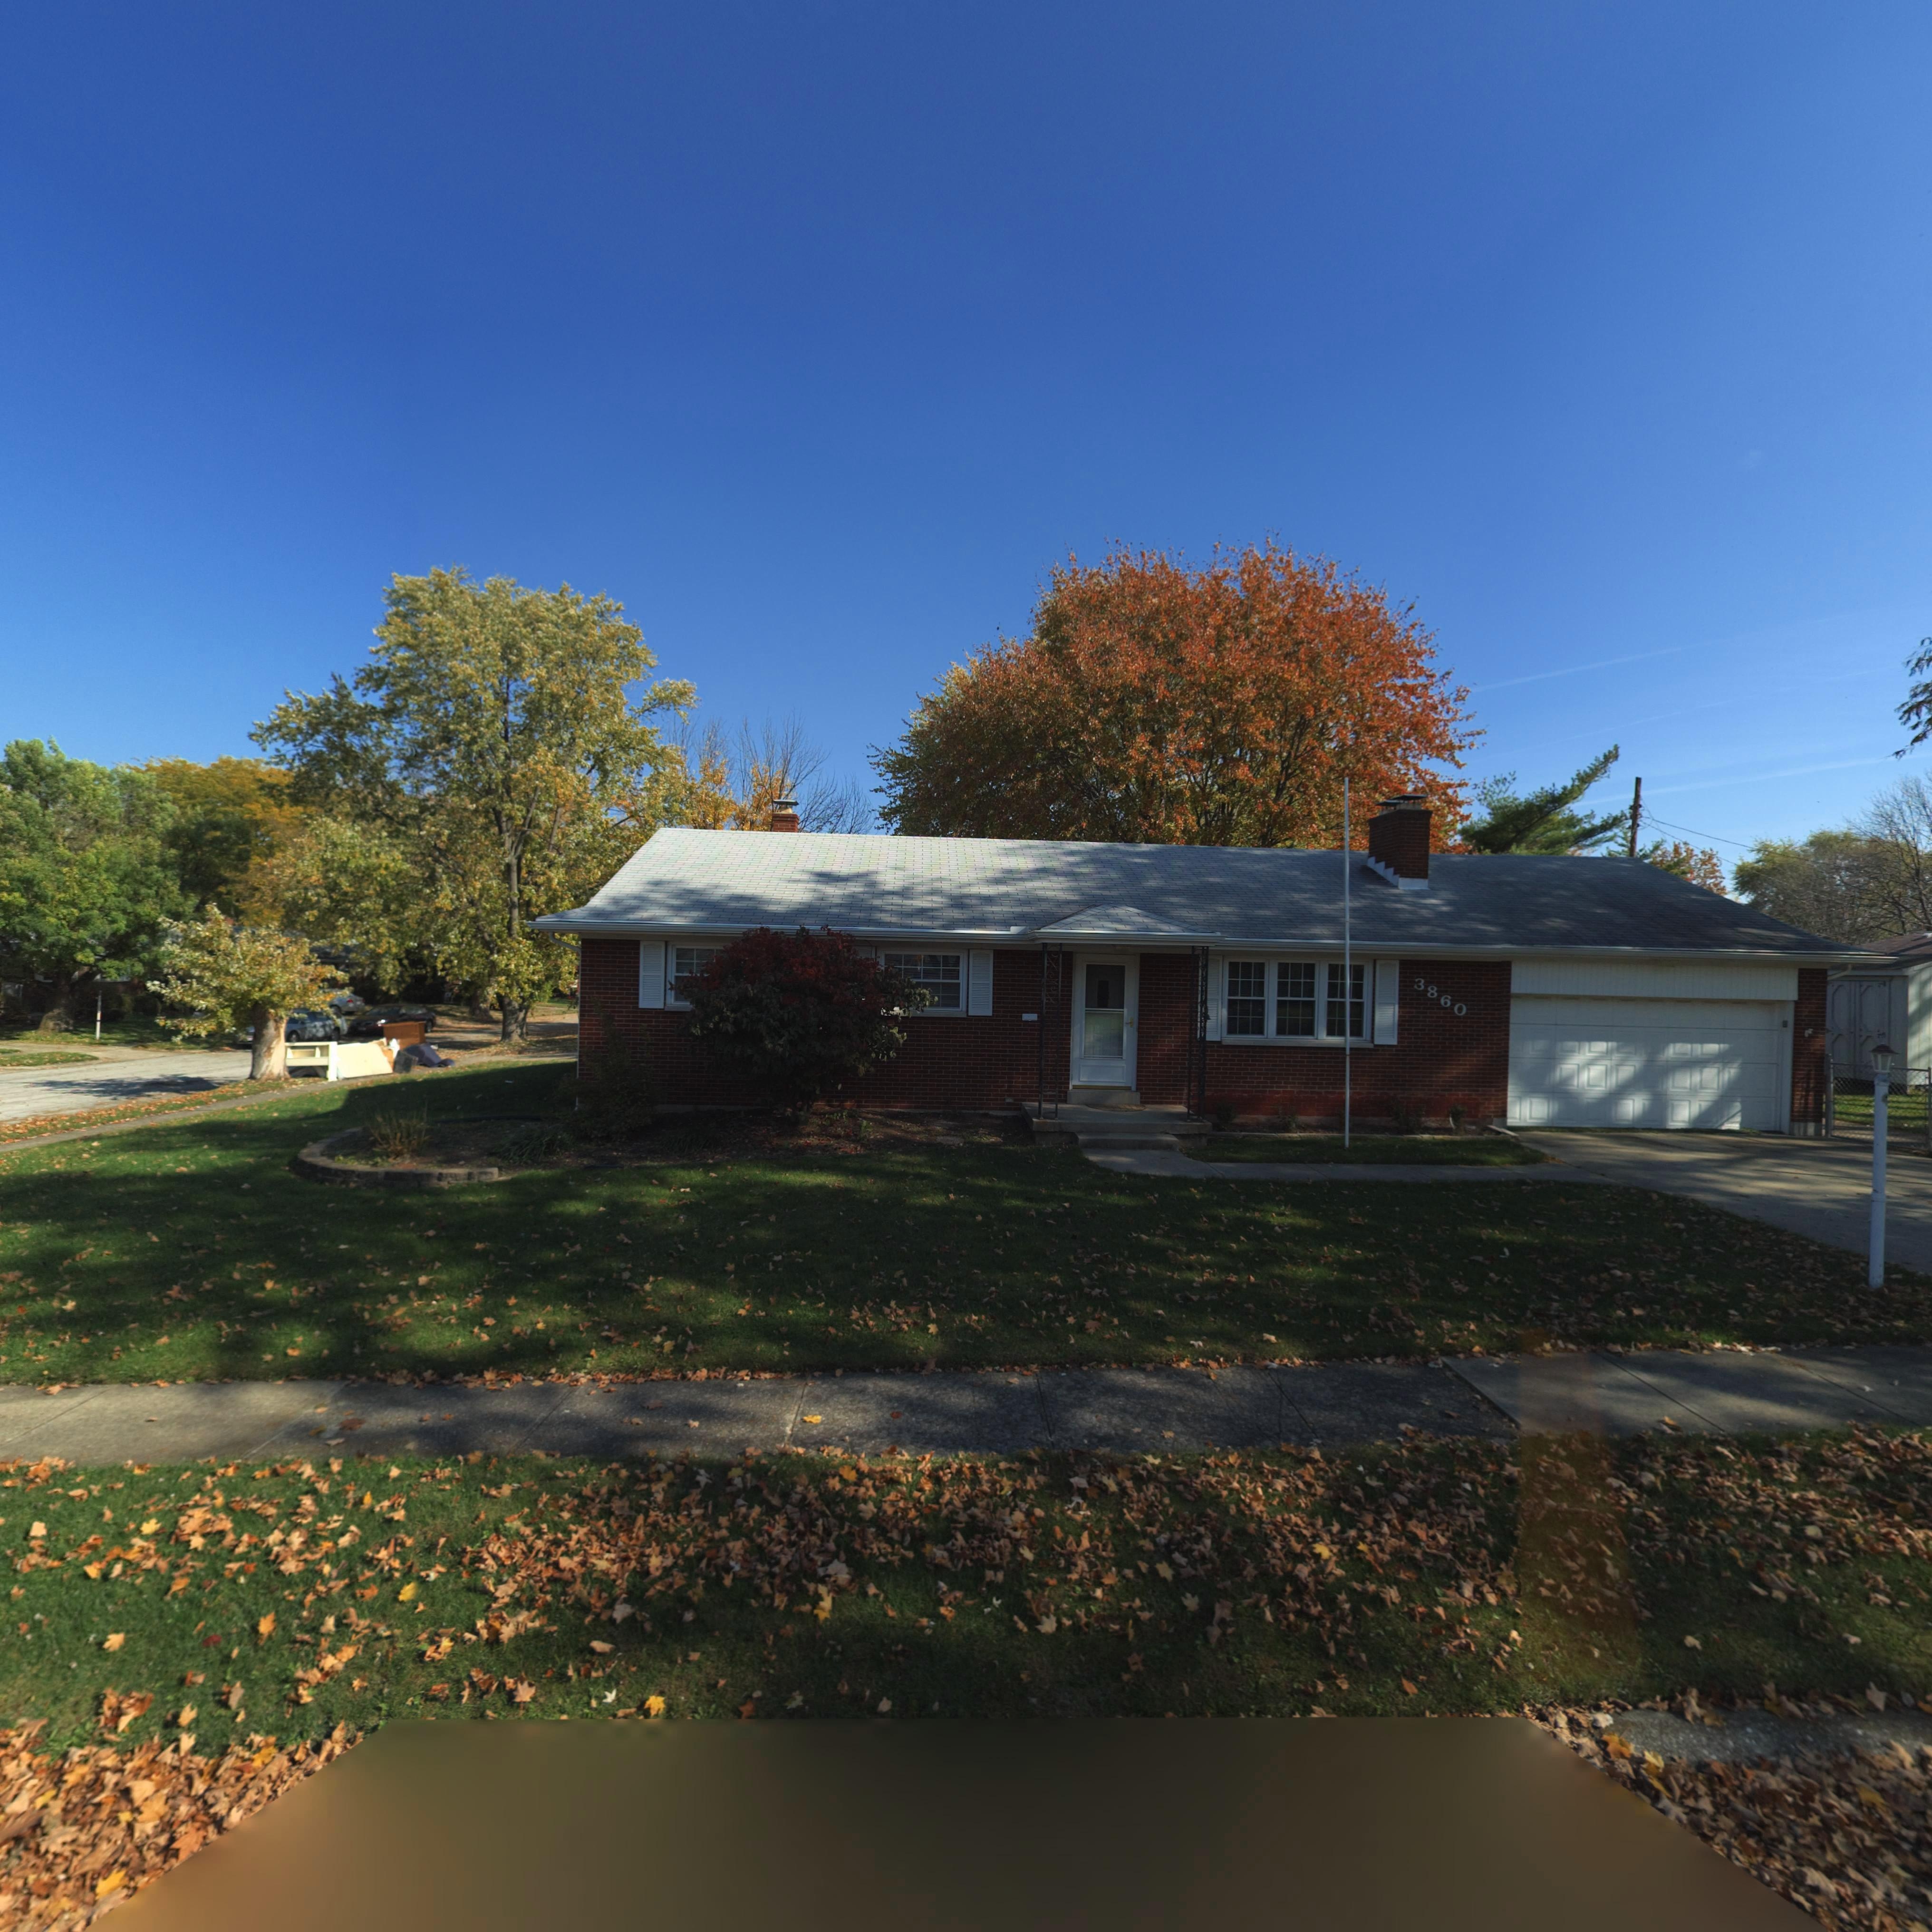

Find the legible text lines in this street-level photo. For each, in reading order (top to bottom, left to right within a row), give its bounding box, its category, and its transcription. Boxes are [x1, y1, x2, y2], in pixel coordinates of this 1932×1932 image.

[1413, 977, 1468, 1018] StreetNumber: 3860